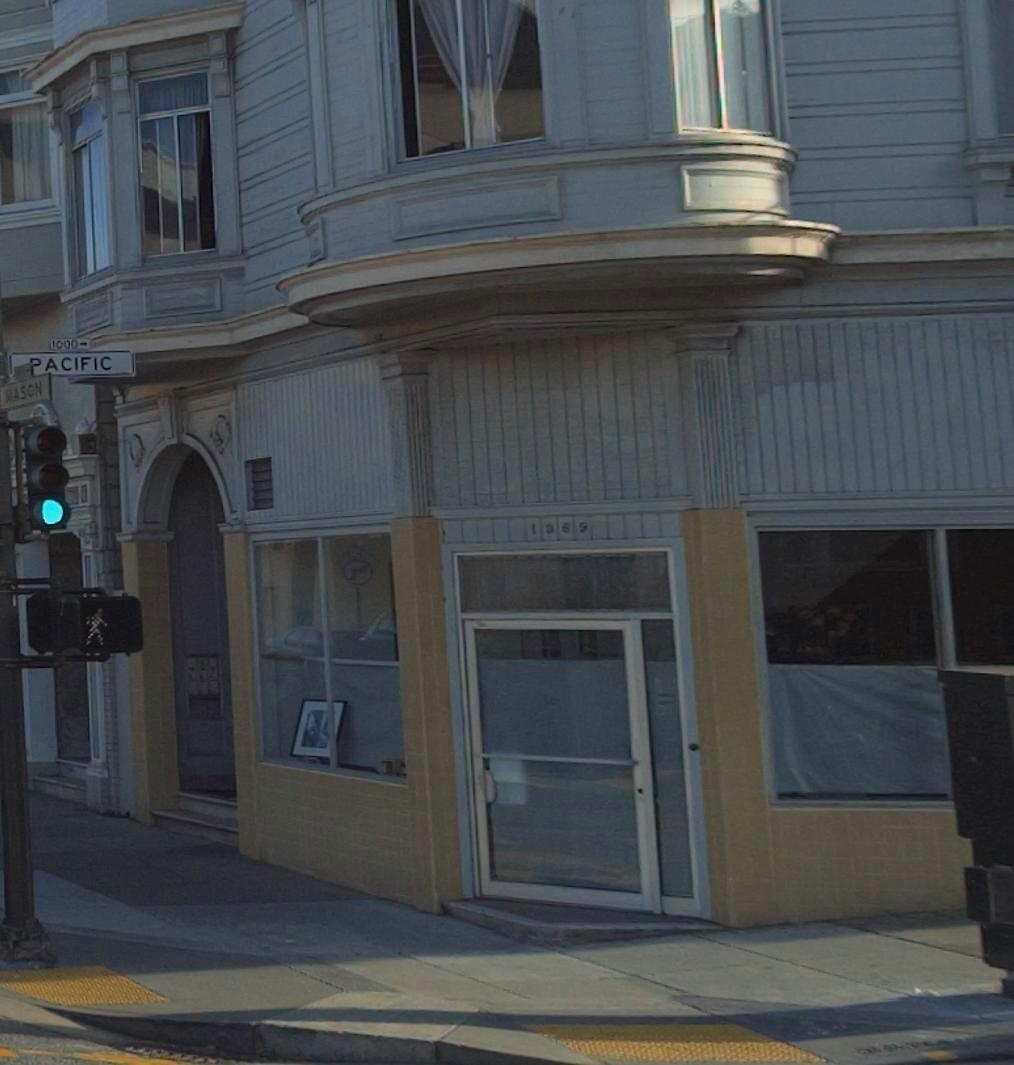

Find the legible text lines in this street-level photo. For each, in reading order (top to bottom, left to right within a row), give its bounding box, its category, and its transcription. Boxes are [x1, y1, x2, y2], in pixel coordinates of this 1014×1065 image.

[51, 338, 90, 350] StreetNumberRange: 1000->
[29, 355, 113, 374] StreetName: PACIFIC
[5, 380, 43, 405] StreetName: MASON
[529, 521, 590, 536] StreetNumber: 1369